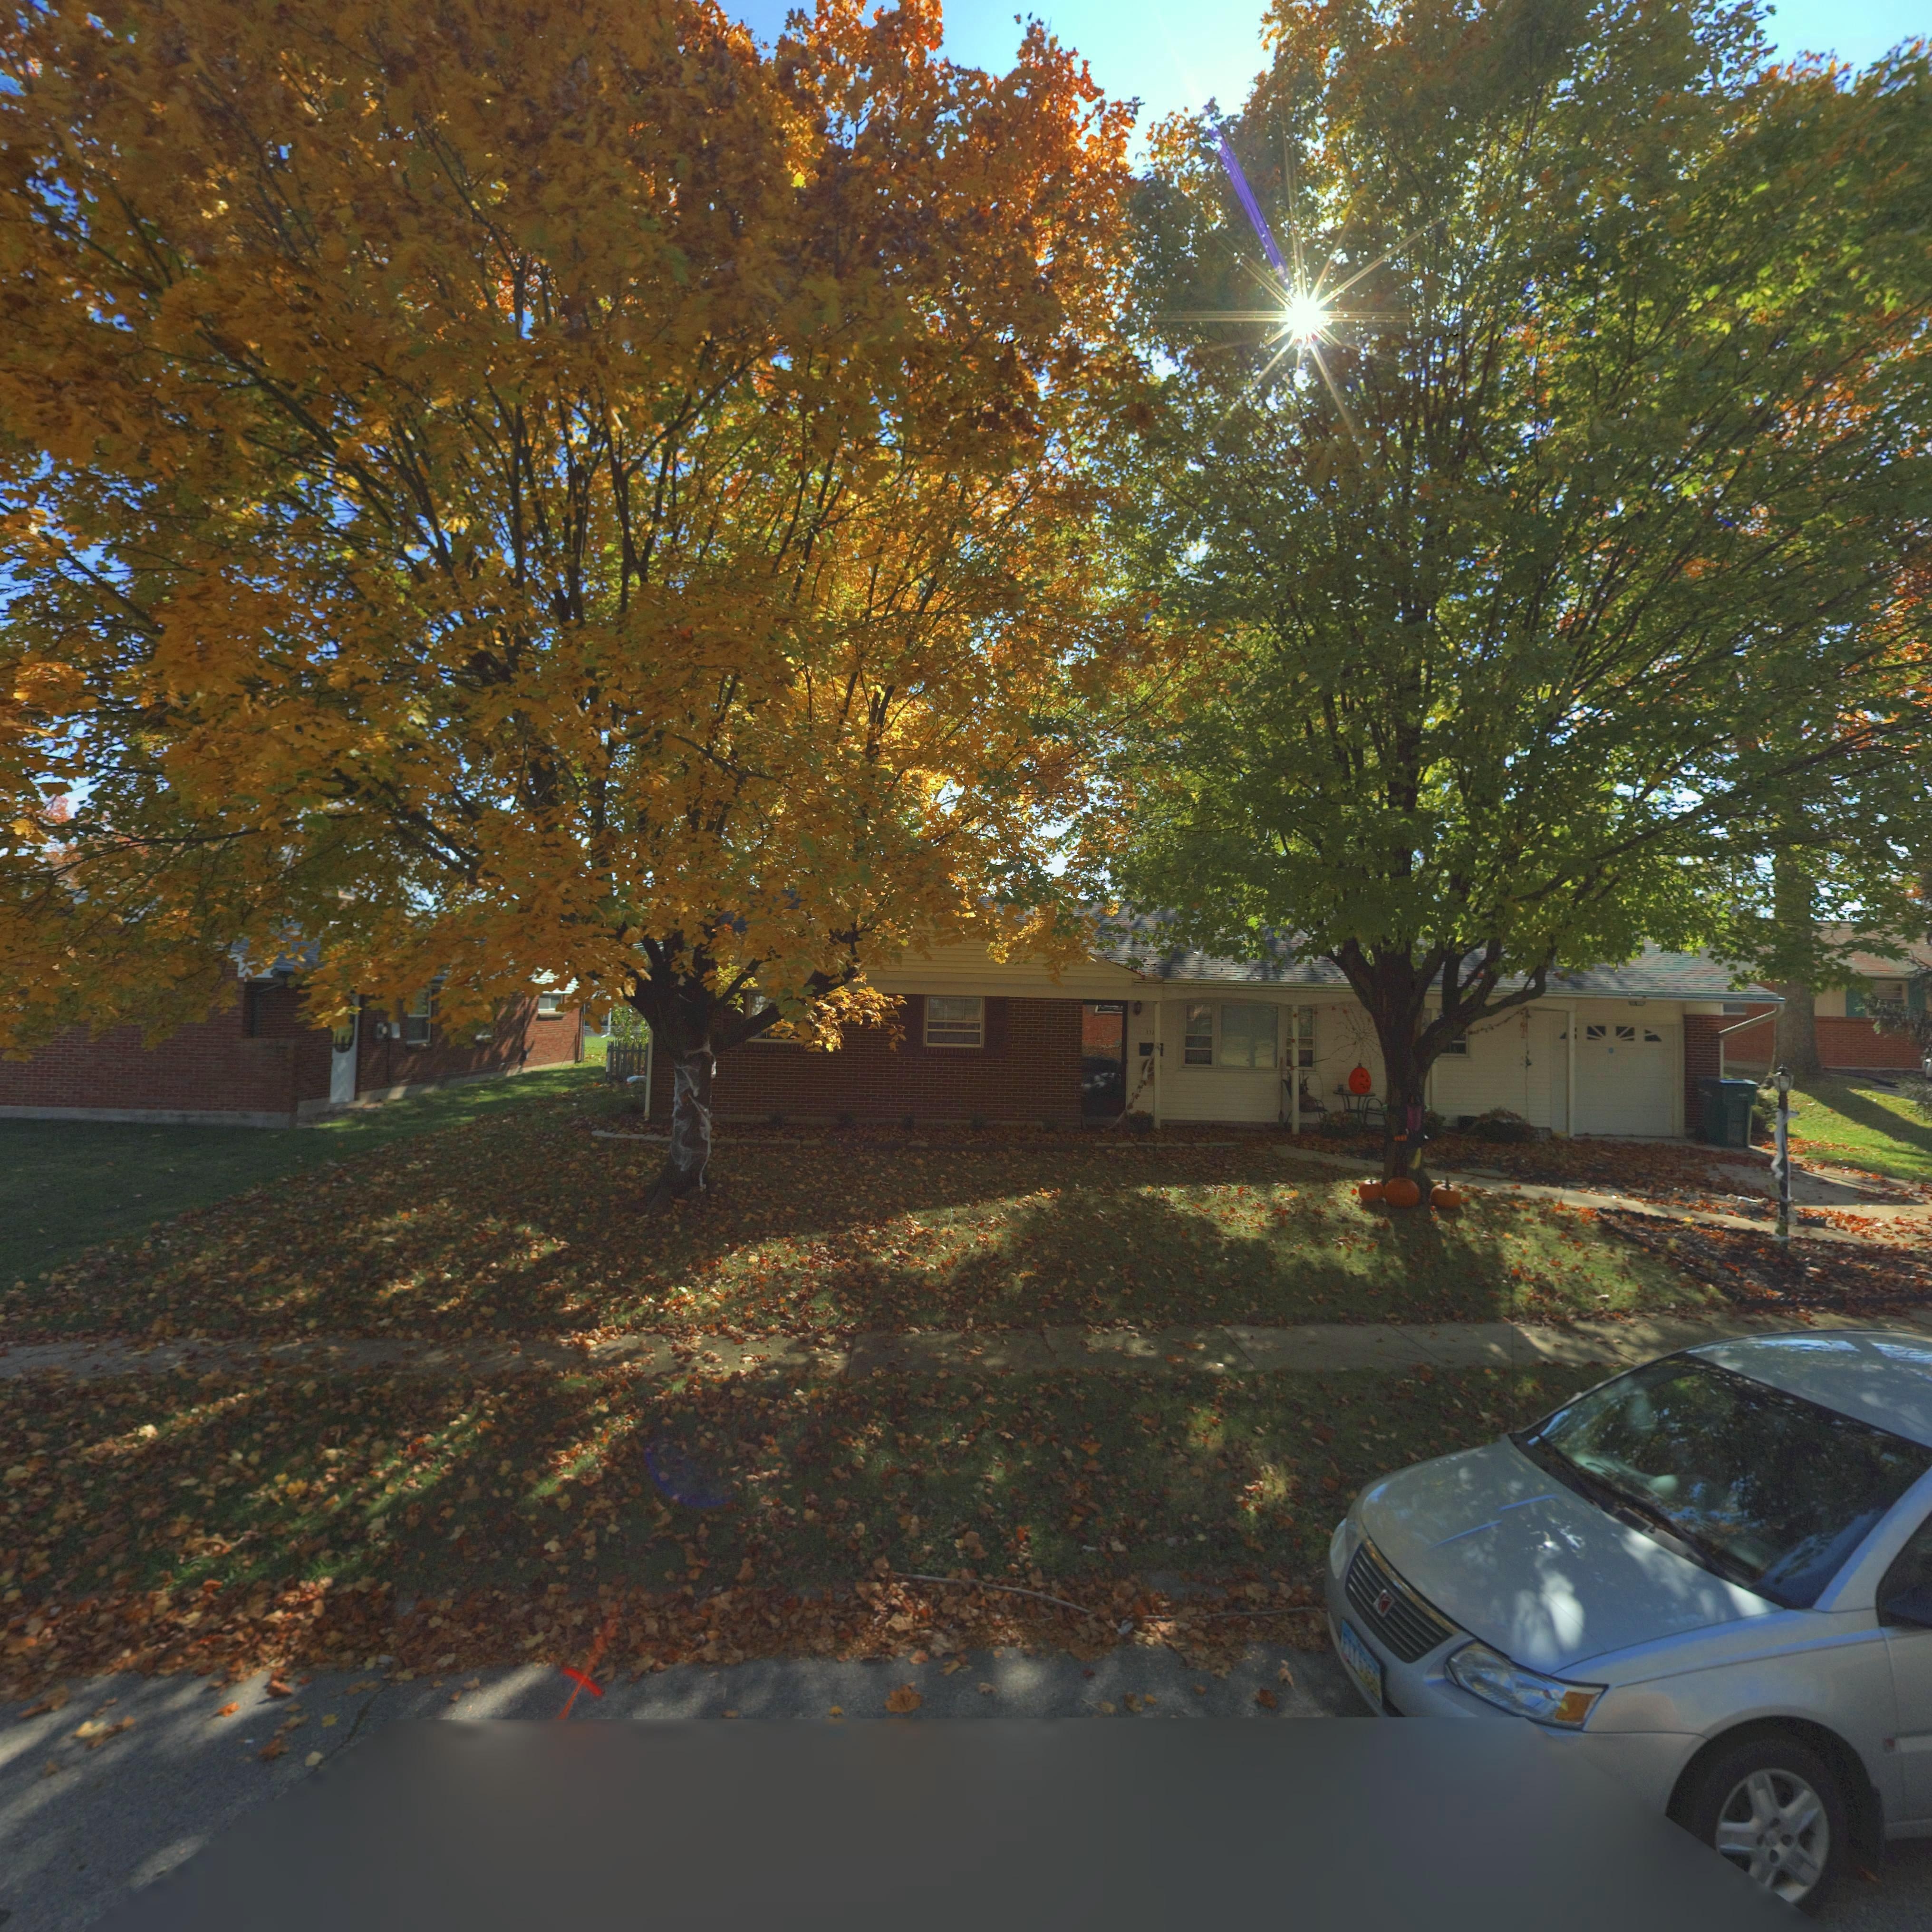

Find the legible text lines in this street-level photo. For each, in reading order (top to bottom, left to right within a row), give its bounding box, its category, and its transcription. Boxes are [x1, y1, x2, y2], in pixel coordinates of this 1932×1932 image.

[1145, 1029, 1152, 1036] StreetNumber: 11